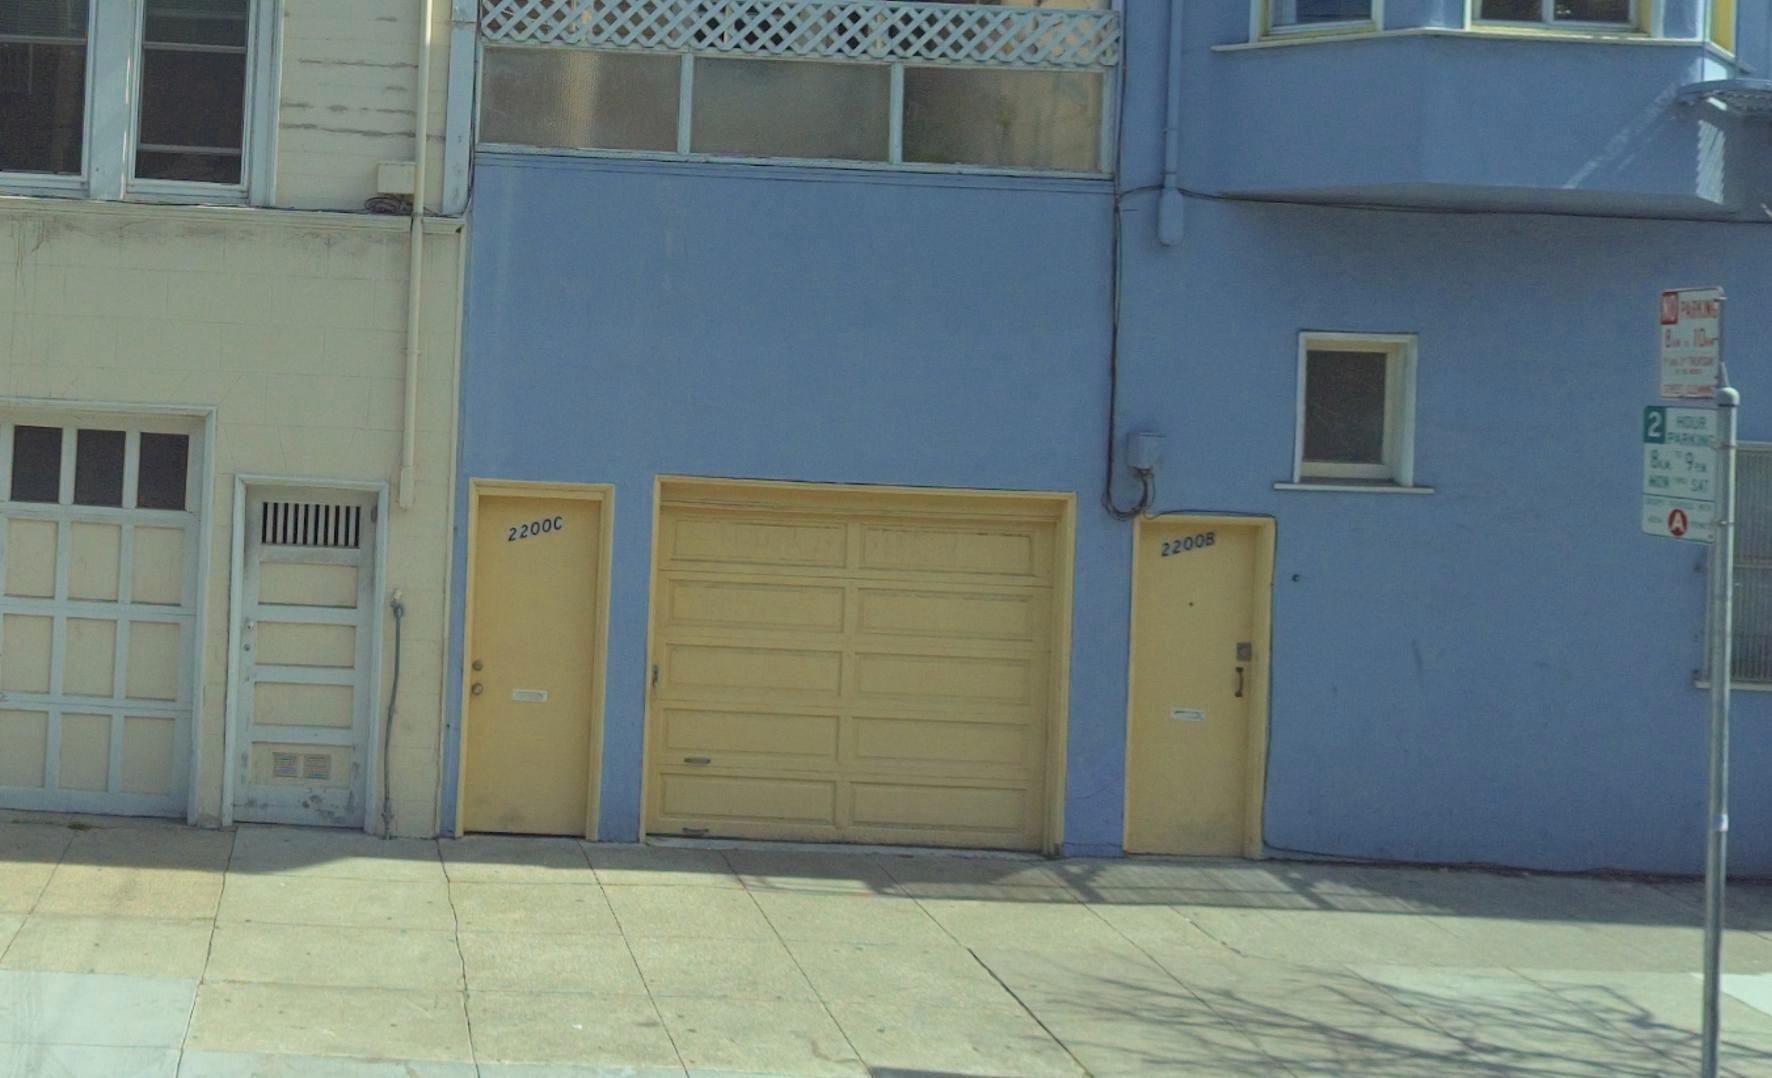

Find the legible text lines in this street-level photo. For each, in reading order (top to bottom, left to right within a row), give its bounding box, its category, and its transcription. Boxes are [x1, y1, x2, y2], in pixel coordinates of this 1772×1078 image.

[1666, 292, 1680, 324] None: O
[1663, 326, 1673, 352] None: 8
[1692, 326, 1709, 350] None: 10
[1646, 408, 1664, 439] None: 2
[1674, 414, 1712, 432] None: HOUR
[1649, 447, 1661, 471] None: 8
[1683, 449, 1696, 474] None: 9
[505, 513, 565, 545] StreetNumber: 2200C
[1666, 509, 1687, 536] None: A\
[1158, 528, 1216, 559] StreetNumber: 2200B